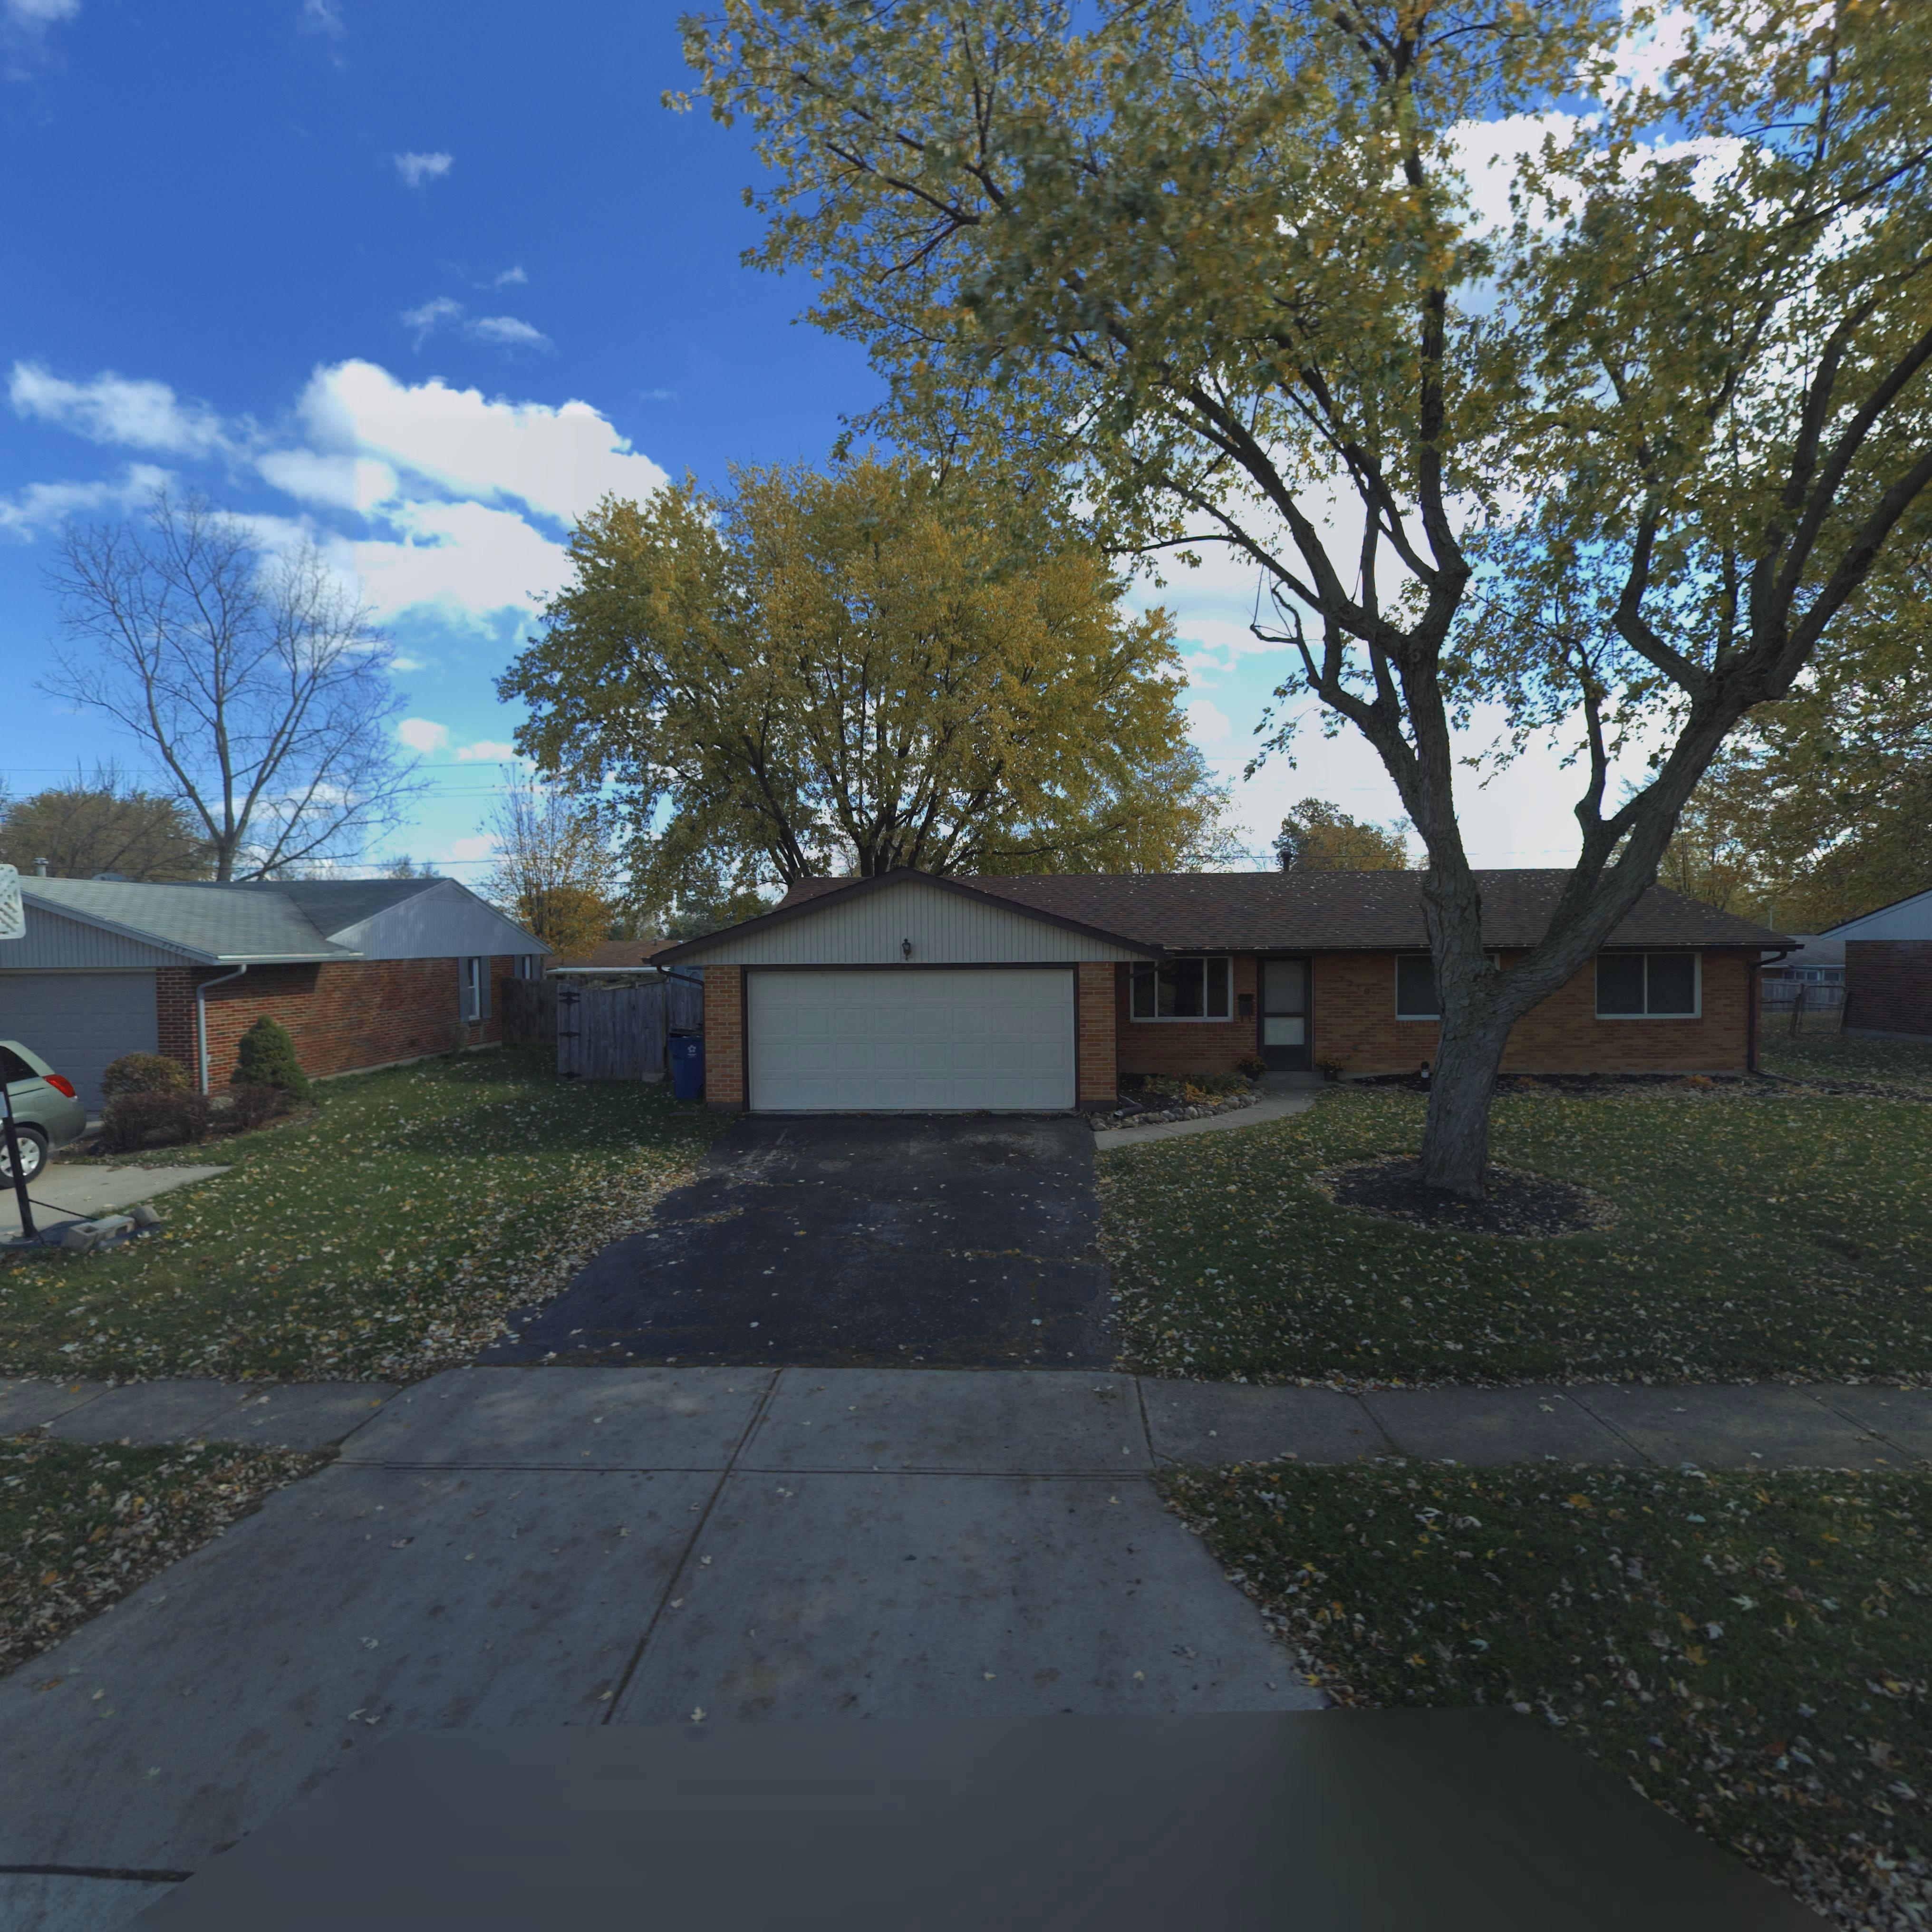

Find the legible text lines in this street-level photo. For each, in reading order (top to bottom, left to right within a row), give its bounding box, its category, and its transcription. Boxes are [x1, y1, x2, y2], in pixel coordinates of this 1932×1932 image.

[161, 940, 188, 955] StreetNumber: 7757
[1337, 975, 1370, 995] StreetNumber: 7719